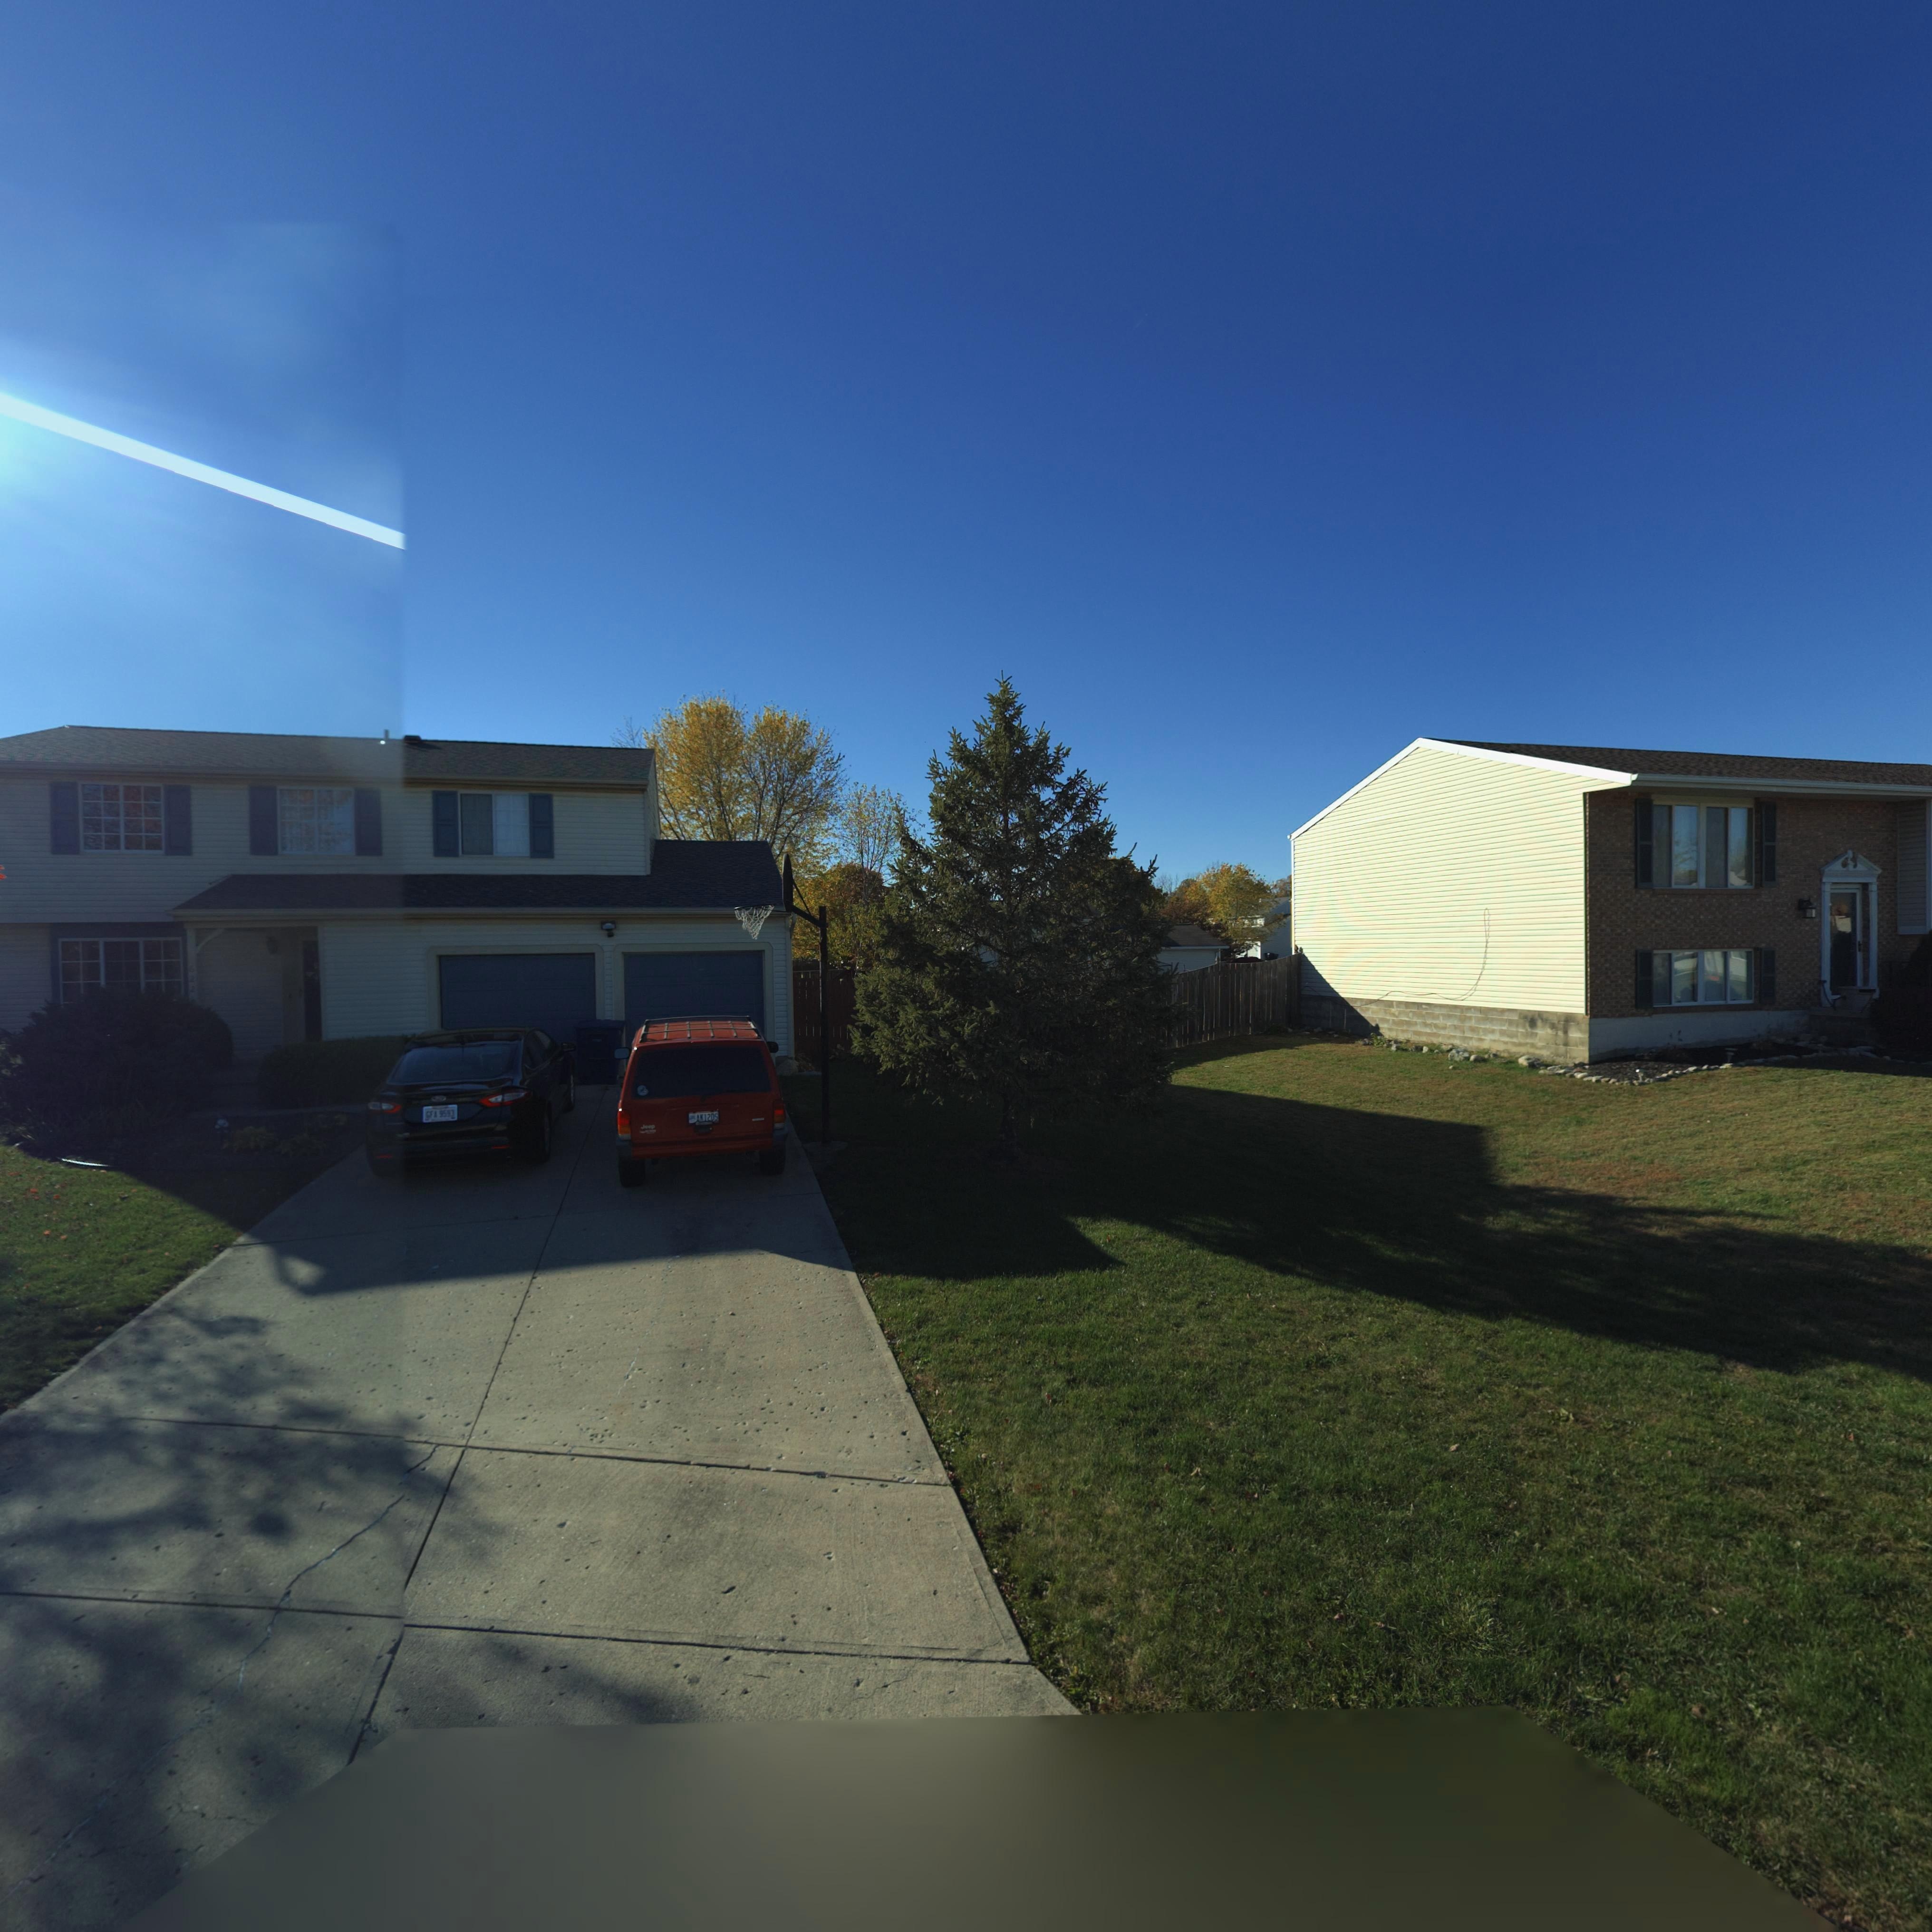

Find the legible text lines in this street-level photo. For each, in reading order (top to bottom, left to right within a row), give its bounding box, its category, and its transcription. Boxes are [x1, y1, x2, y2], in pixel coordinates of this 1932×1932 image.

[188, 964, 197, 994] StreetNumber: 622